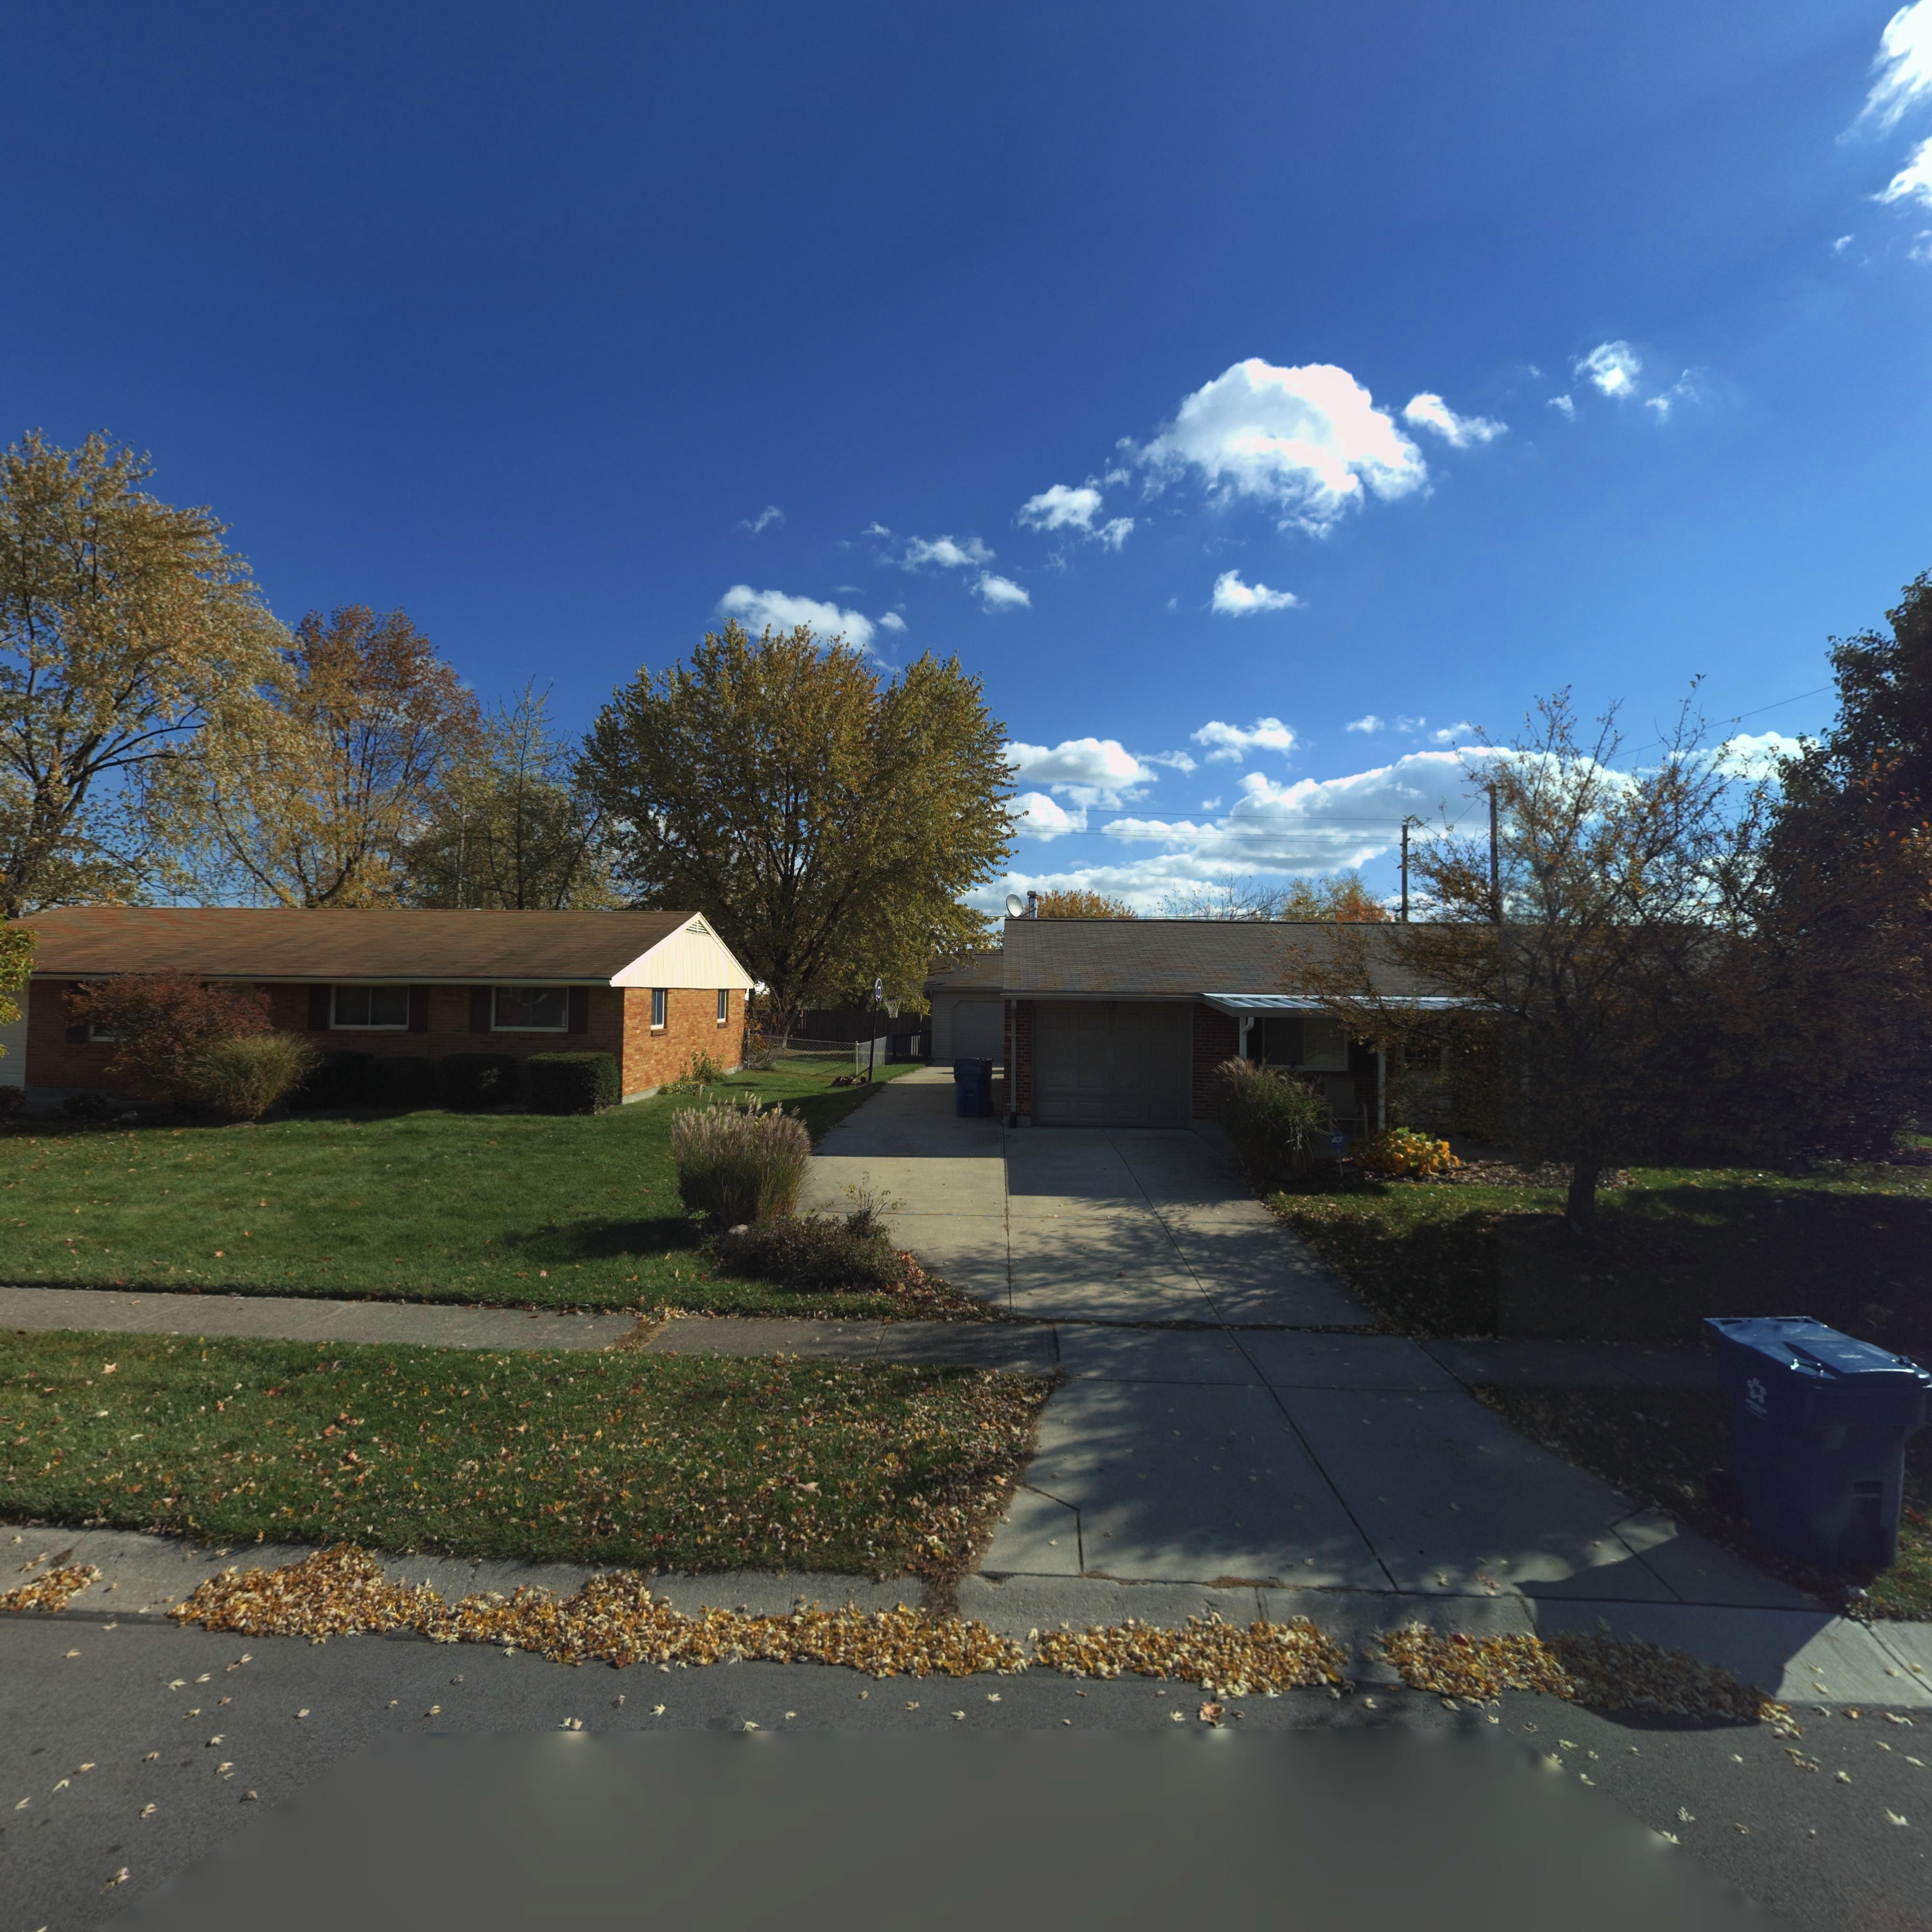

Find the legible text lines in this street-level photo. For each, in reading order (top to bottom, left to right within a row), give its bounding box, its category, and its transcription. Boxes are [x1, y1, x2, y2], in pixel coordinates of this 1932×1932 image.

[1107, 1009, 1115, 1036] StreetNumber: 7630